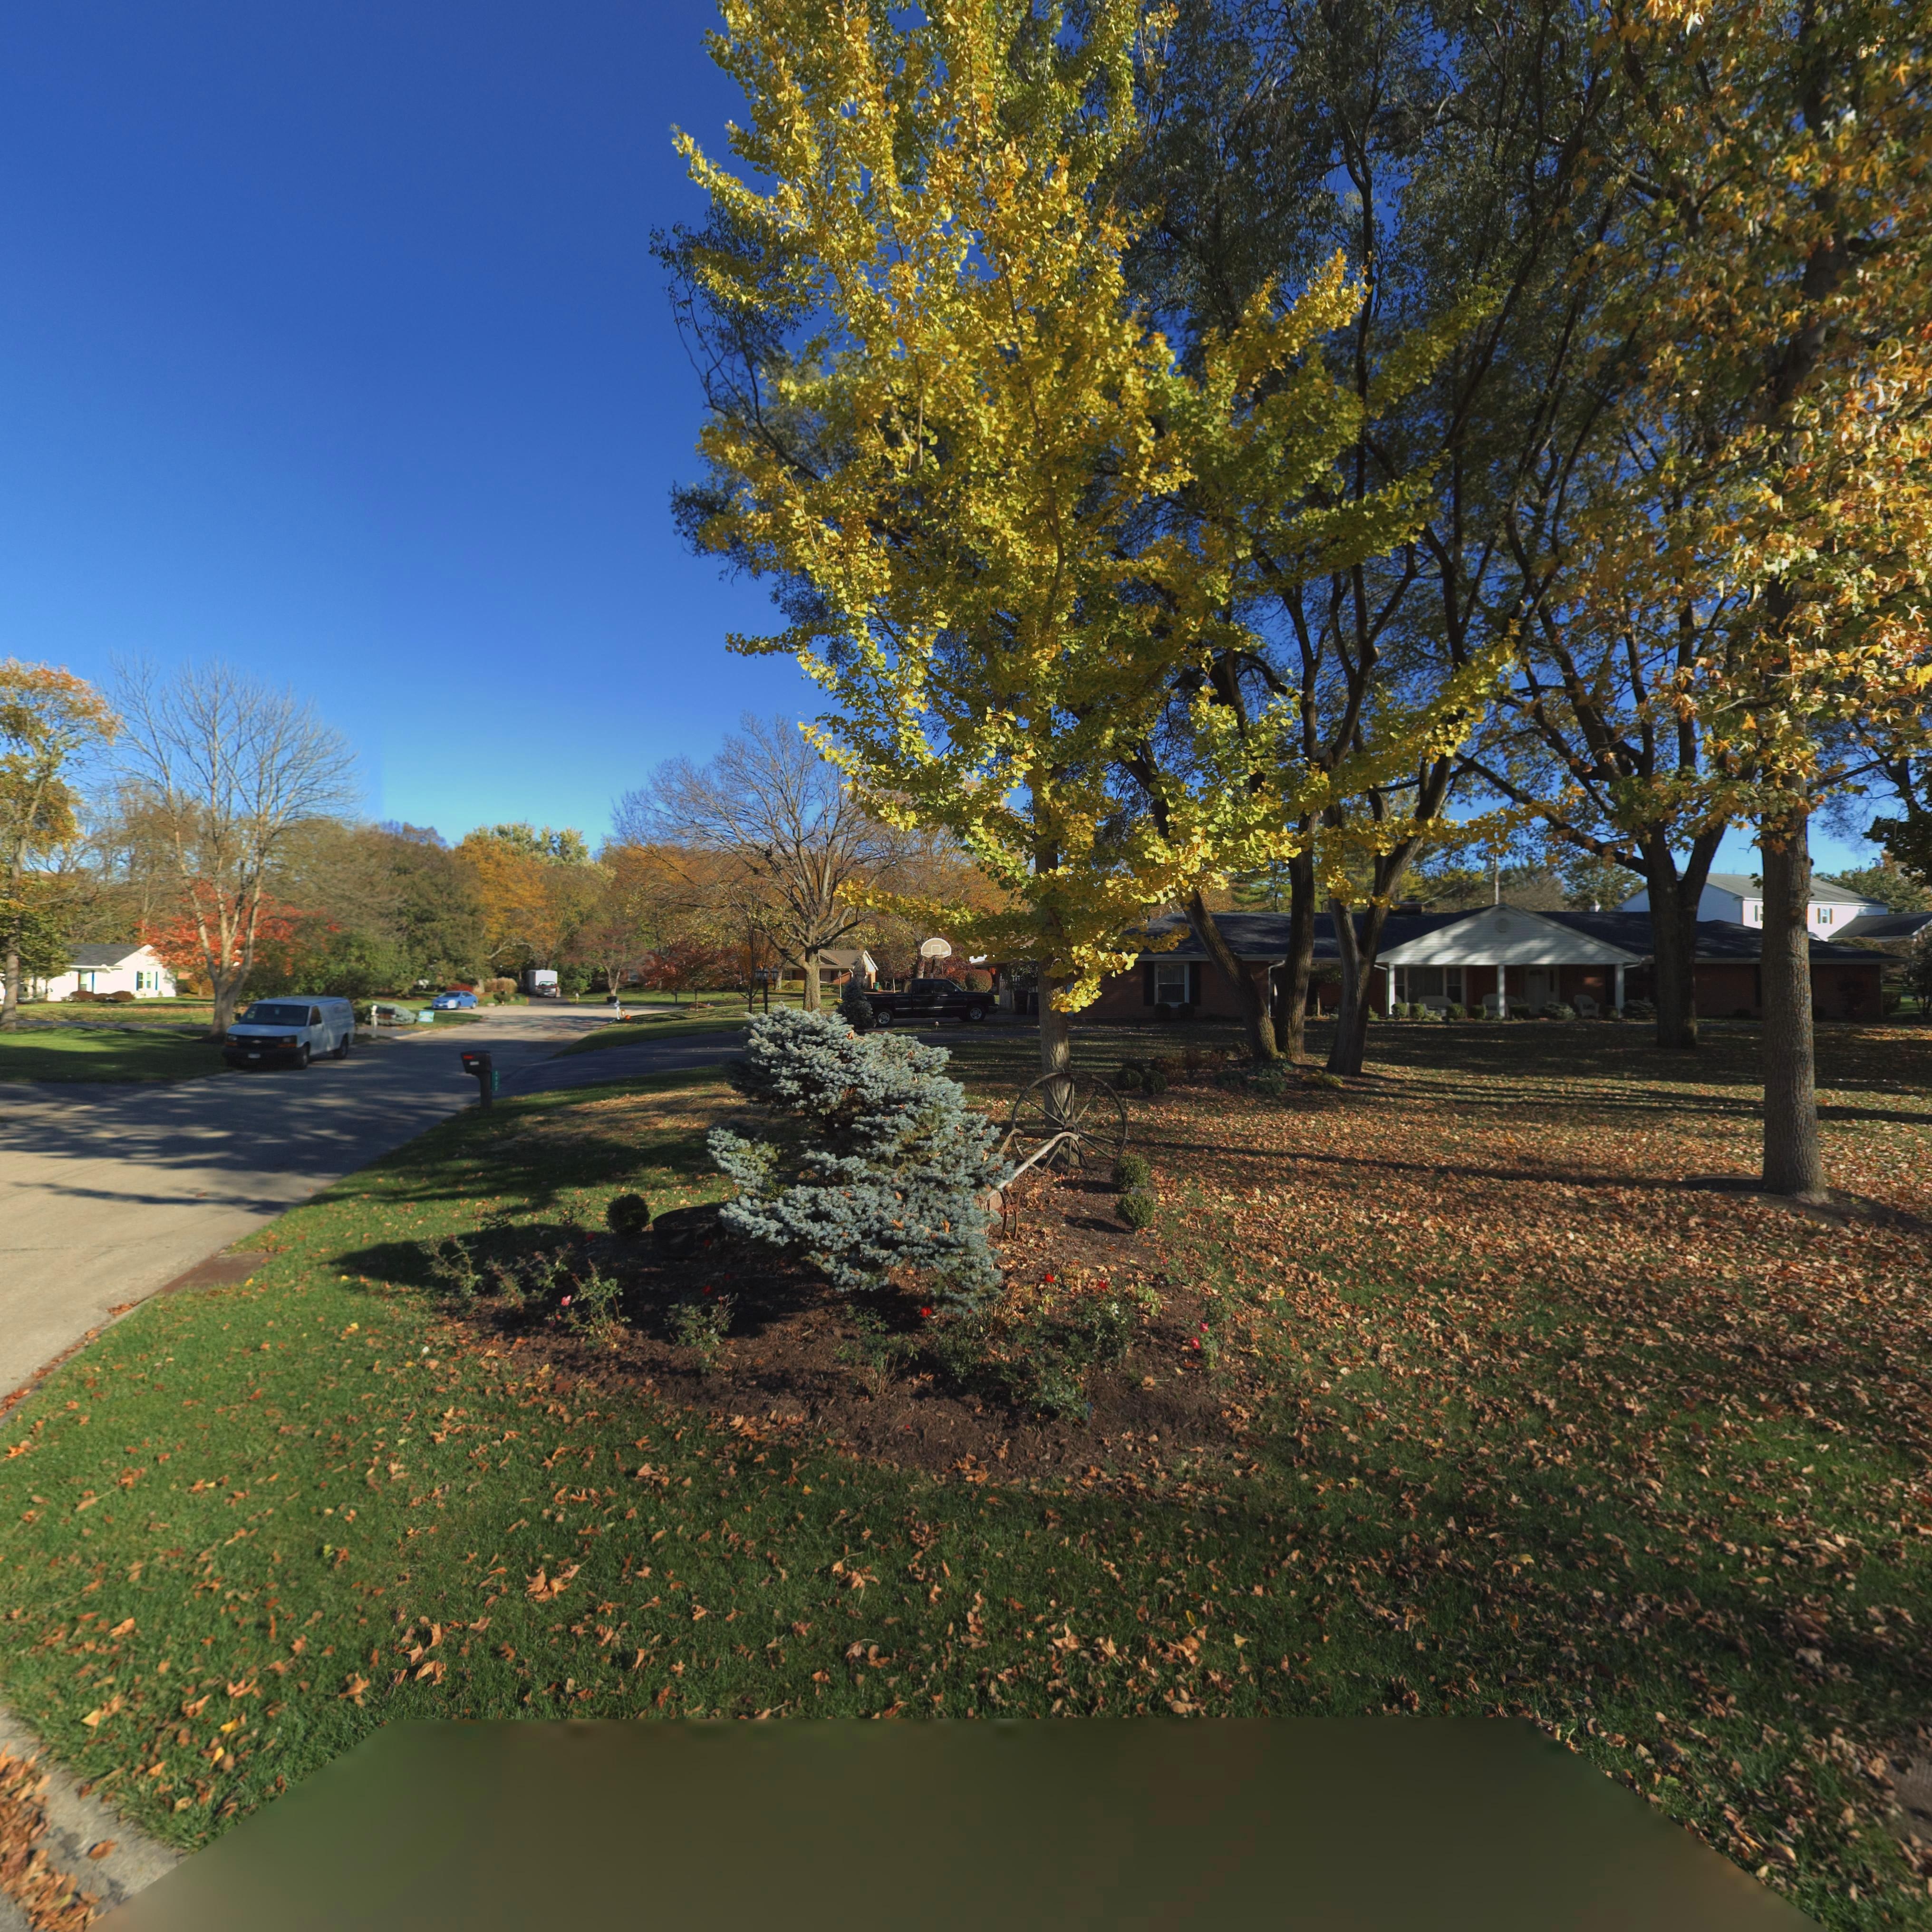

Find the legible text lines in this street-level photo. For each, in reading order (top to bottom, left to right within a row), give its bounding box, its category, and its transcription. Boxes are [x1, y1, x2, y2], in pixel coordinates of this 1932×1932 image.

[494, 1070, 499, 1092] StreetNumber: 112*